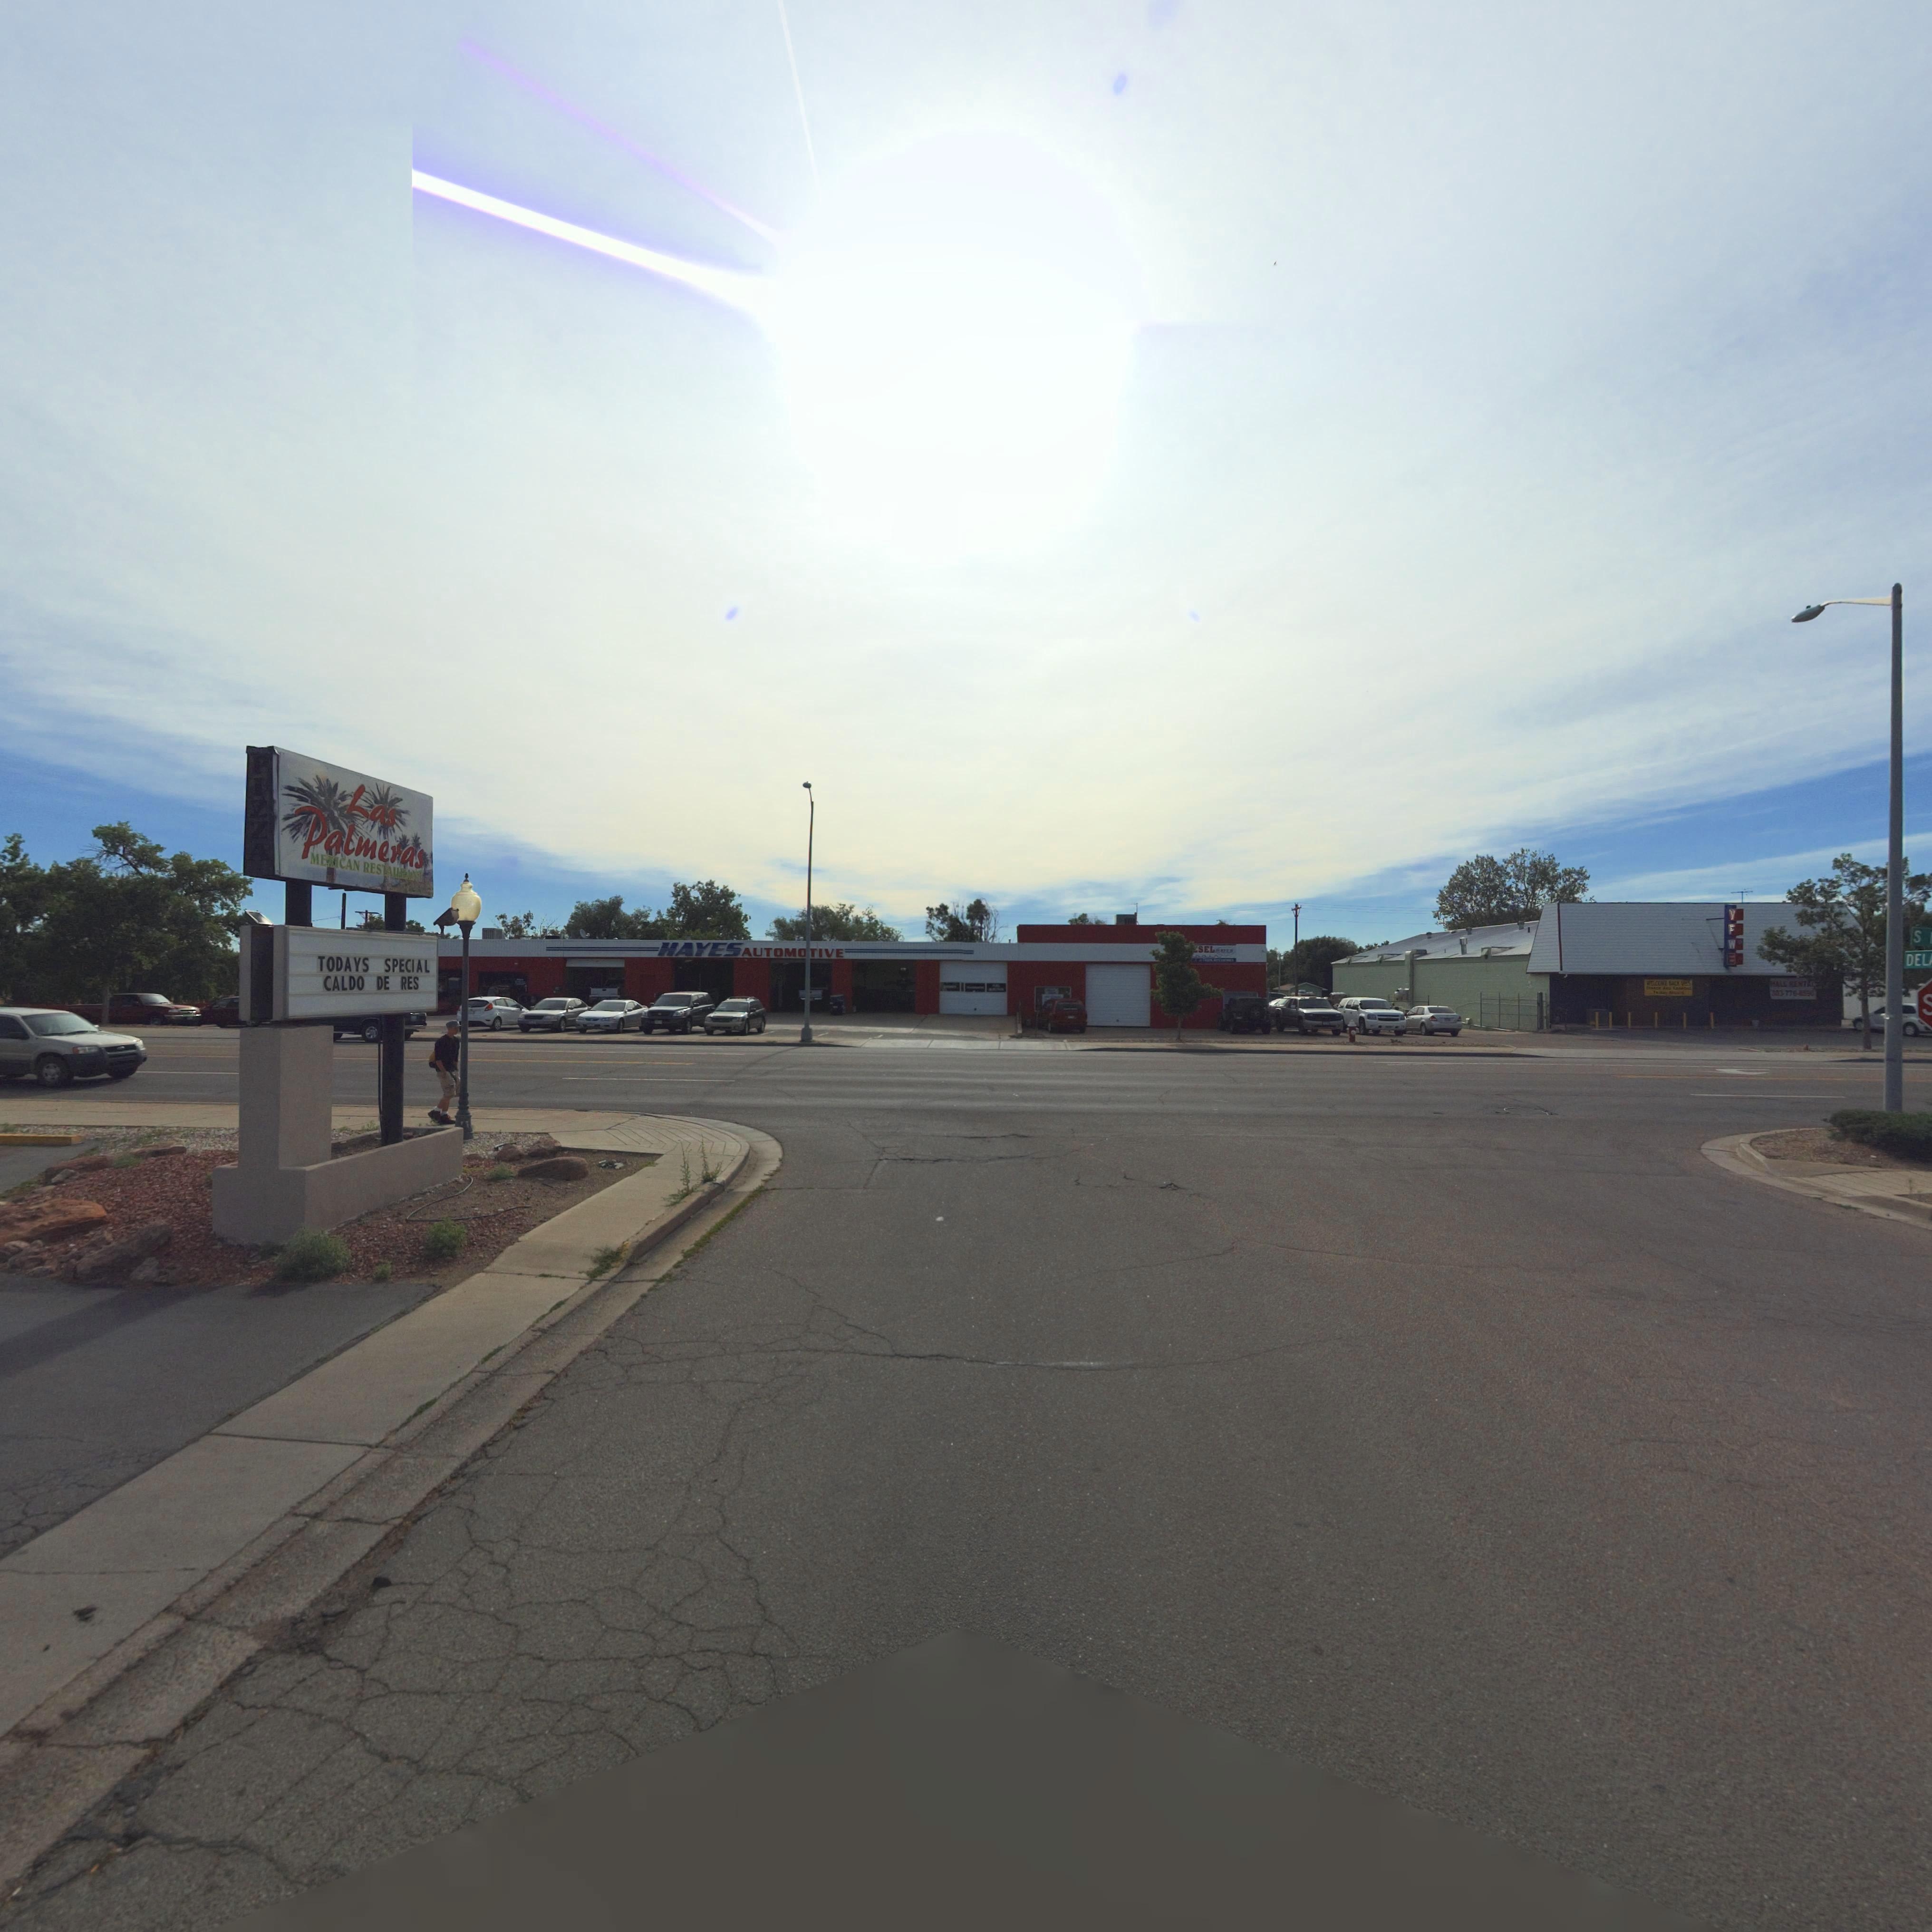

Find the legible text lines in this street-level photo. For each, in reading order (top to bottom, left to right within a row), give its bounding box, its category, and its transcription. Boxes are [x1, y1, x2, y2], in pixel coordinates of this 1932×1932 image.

[341, 779, 397, 831] BusinessName: Las
[292, 803, 427, 870] BusinessName: Palmeras
[308, 850, 424, 883] BusinessName: MEXICAN RESTAURANT
[653, 939, 845, 958] BusinessName: HAYES AUTOMOTIVE
[1197, 944, 1215, 953] BusinessName: *SEL
[1726, 906, 1747, 951] BusinessName: V F W
[1903, 949, 1930, 968] StreetName: DEL*
[1911, 926, 1925, 945] StreetName: S